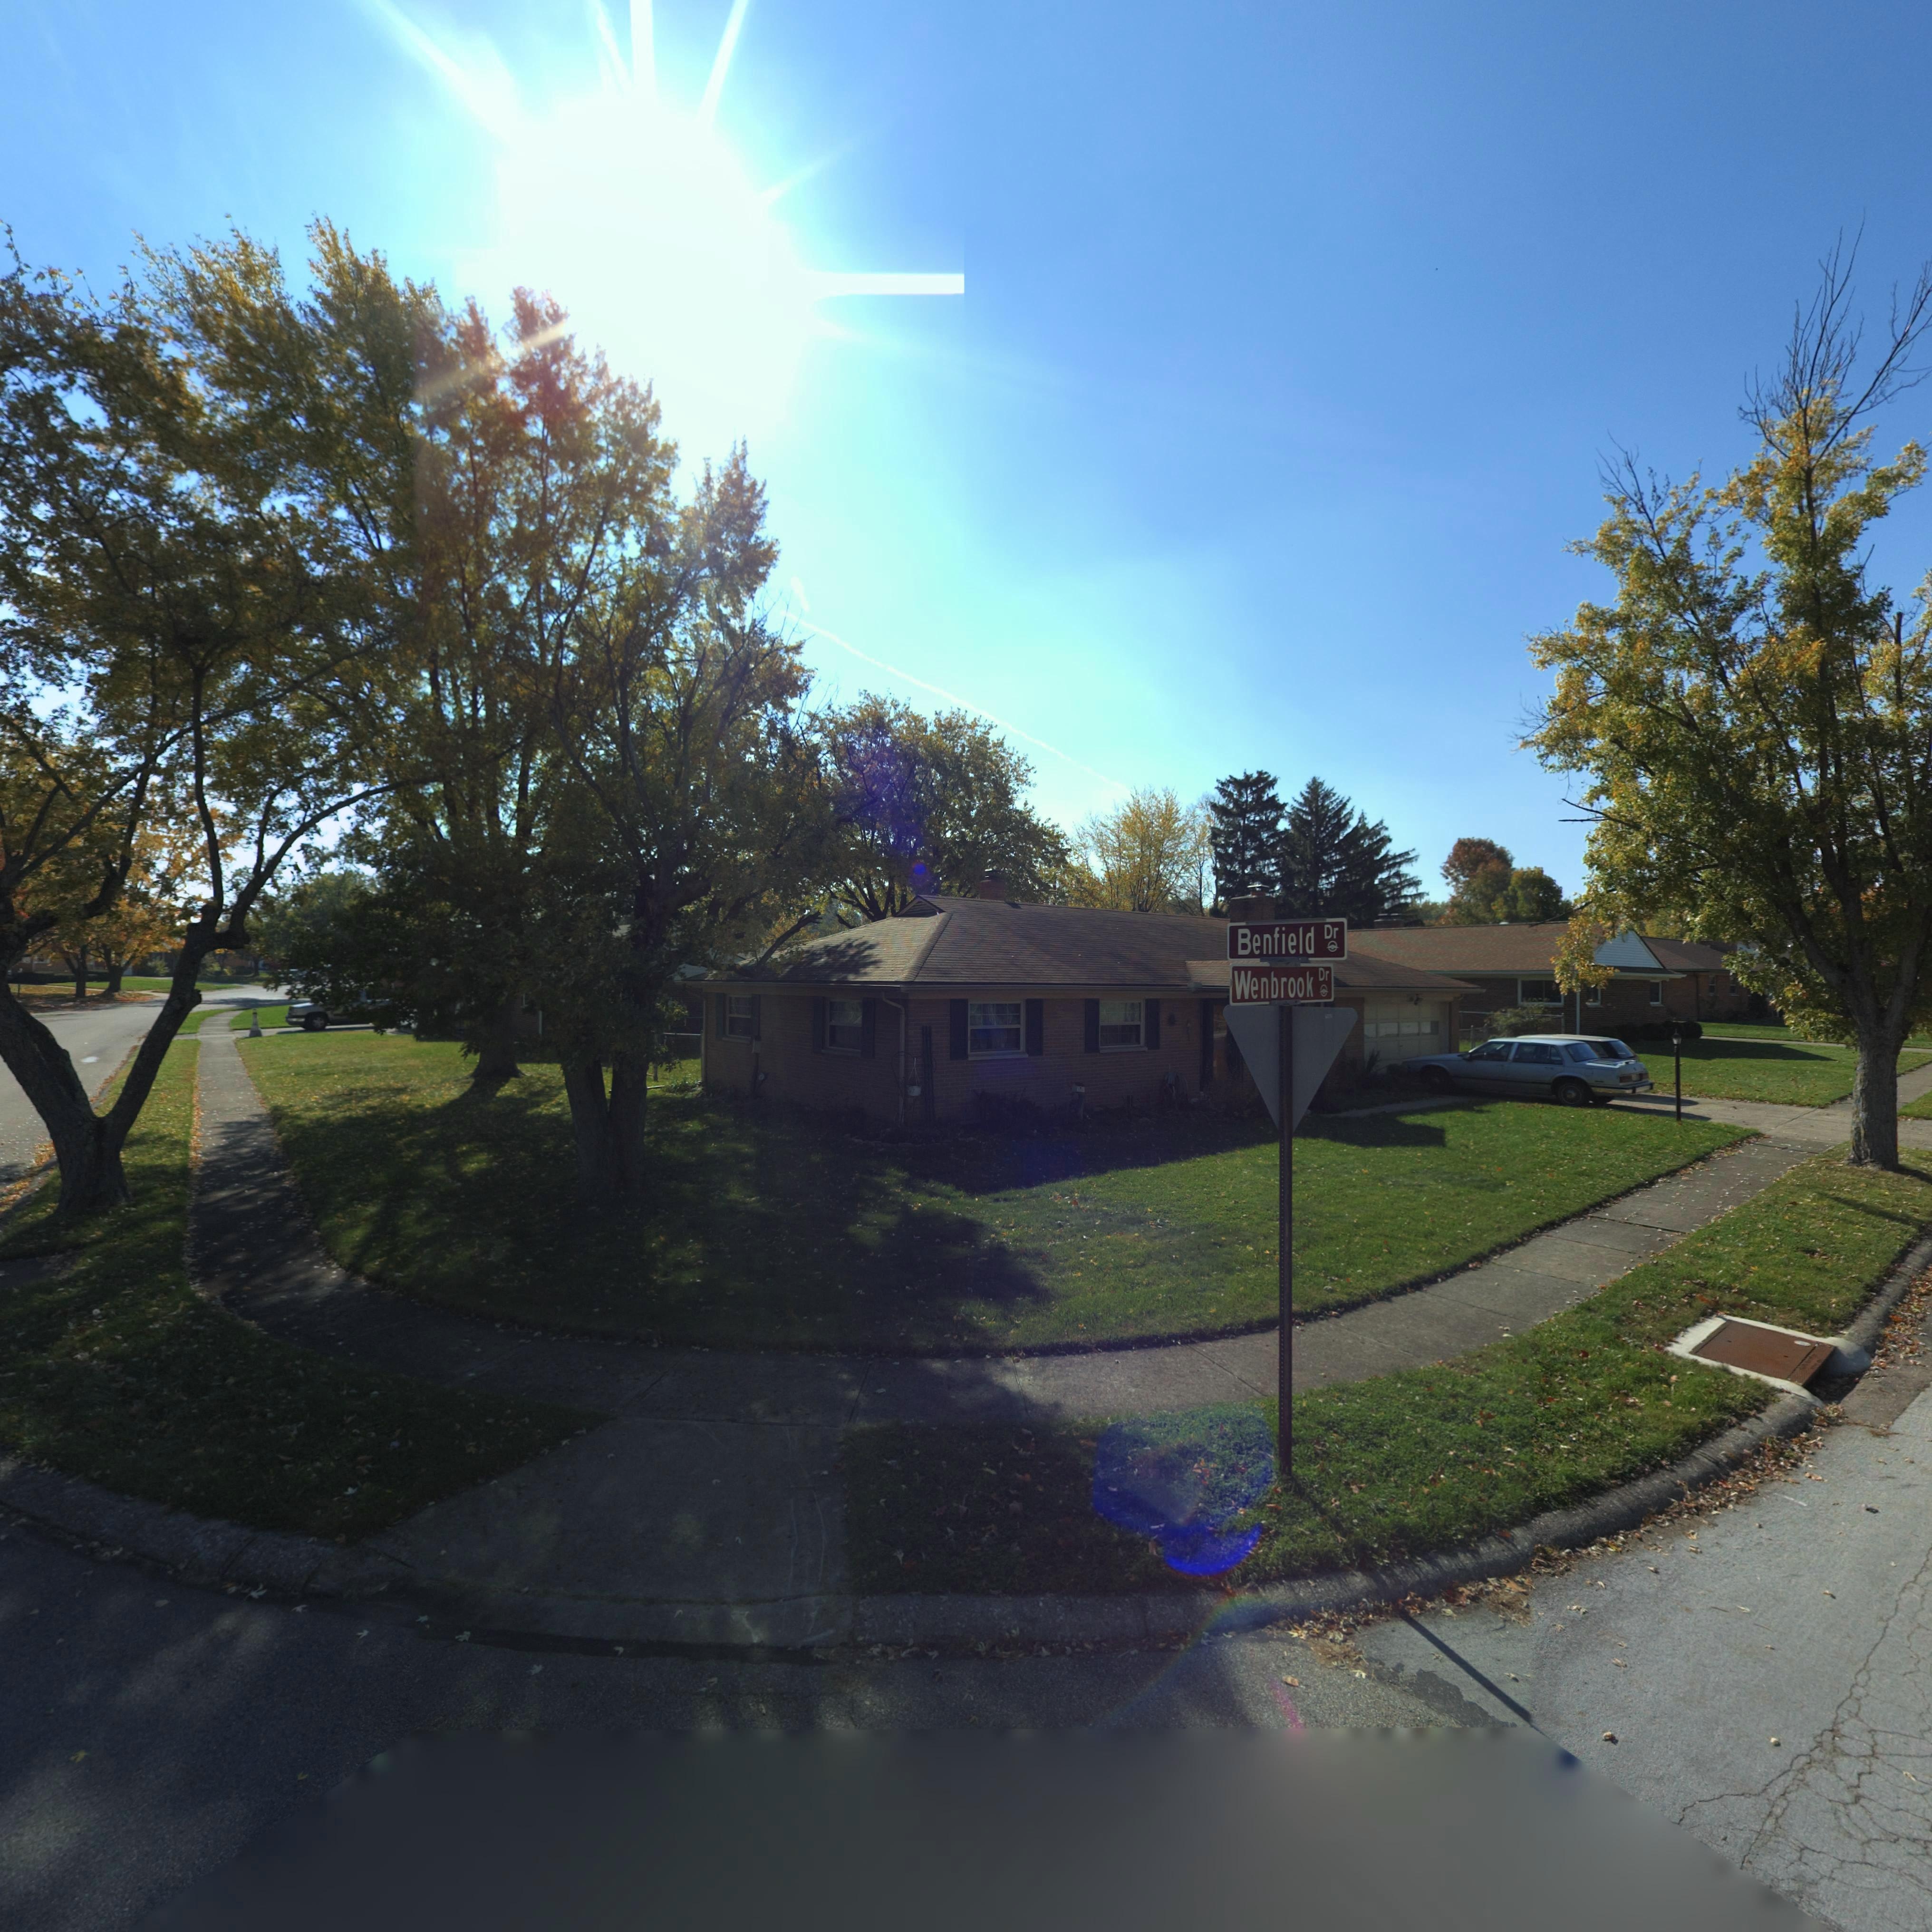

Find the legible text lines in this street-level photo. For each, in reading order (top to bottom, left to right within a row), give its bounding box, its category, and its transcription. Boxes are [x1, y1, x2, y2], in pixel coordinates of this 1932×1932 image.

[1237, 924, 1339, 956] StreetName: Benfield Dr
[1233, 967, 1330, 1000] StreetName: Wenbrook Dr